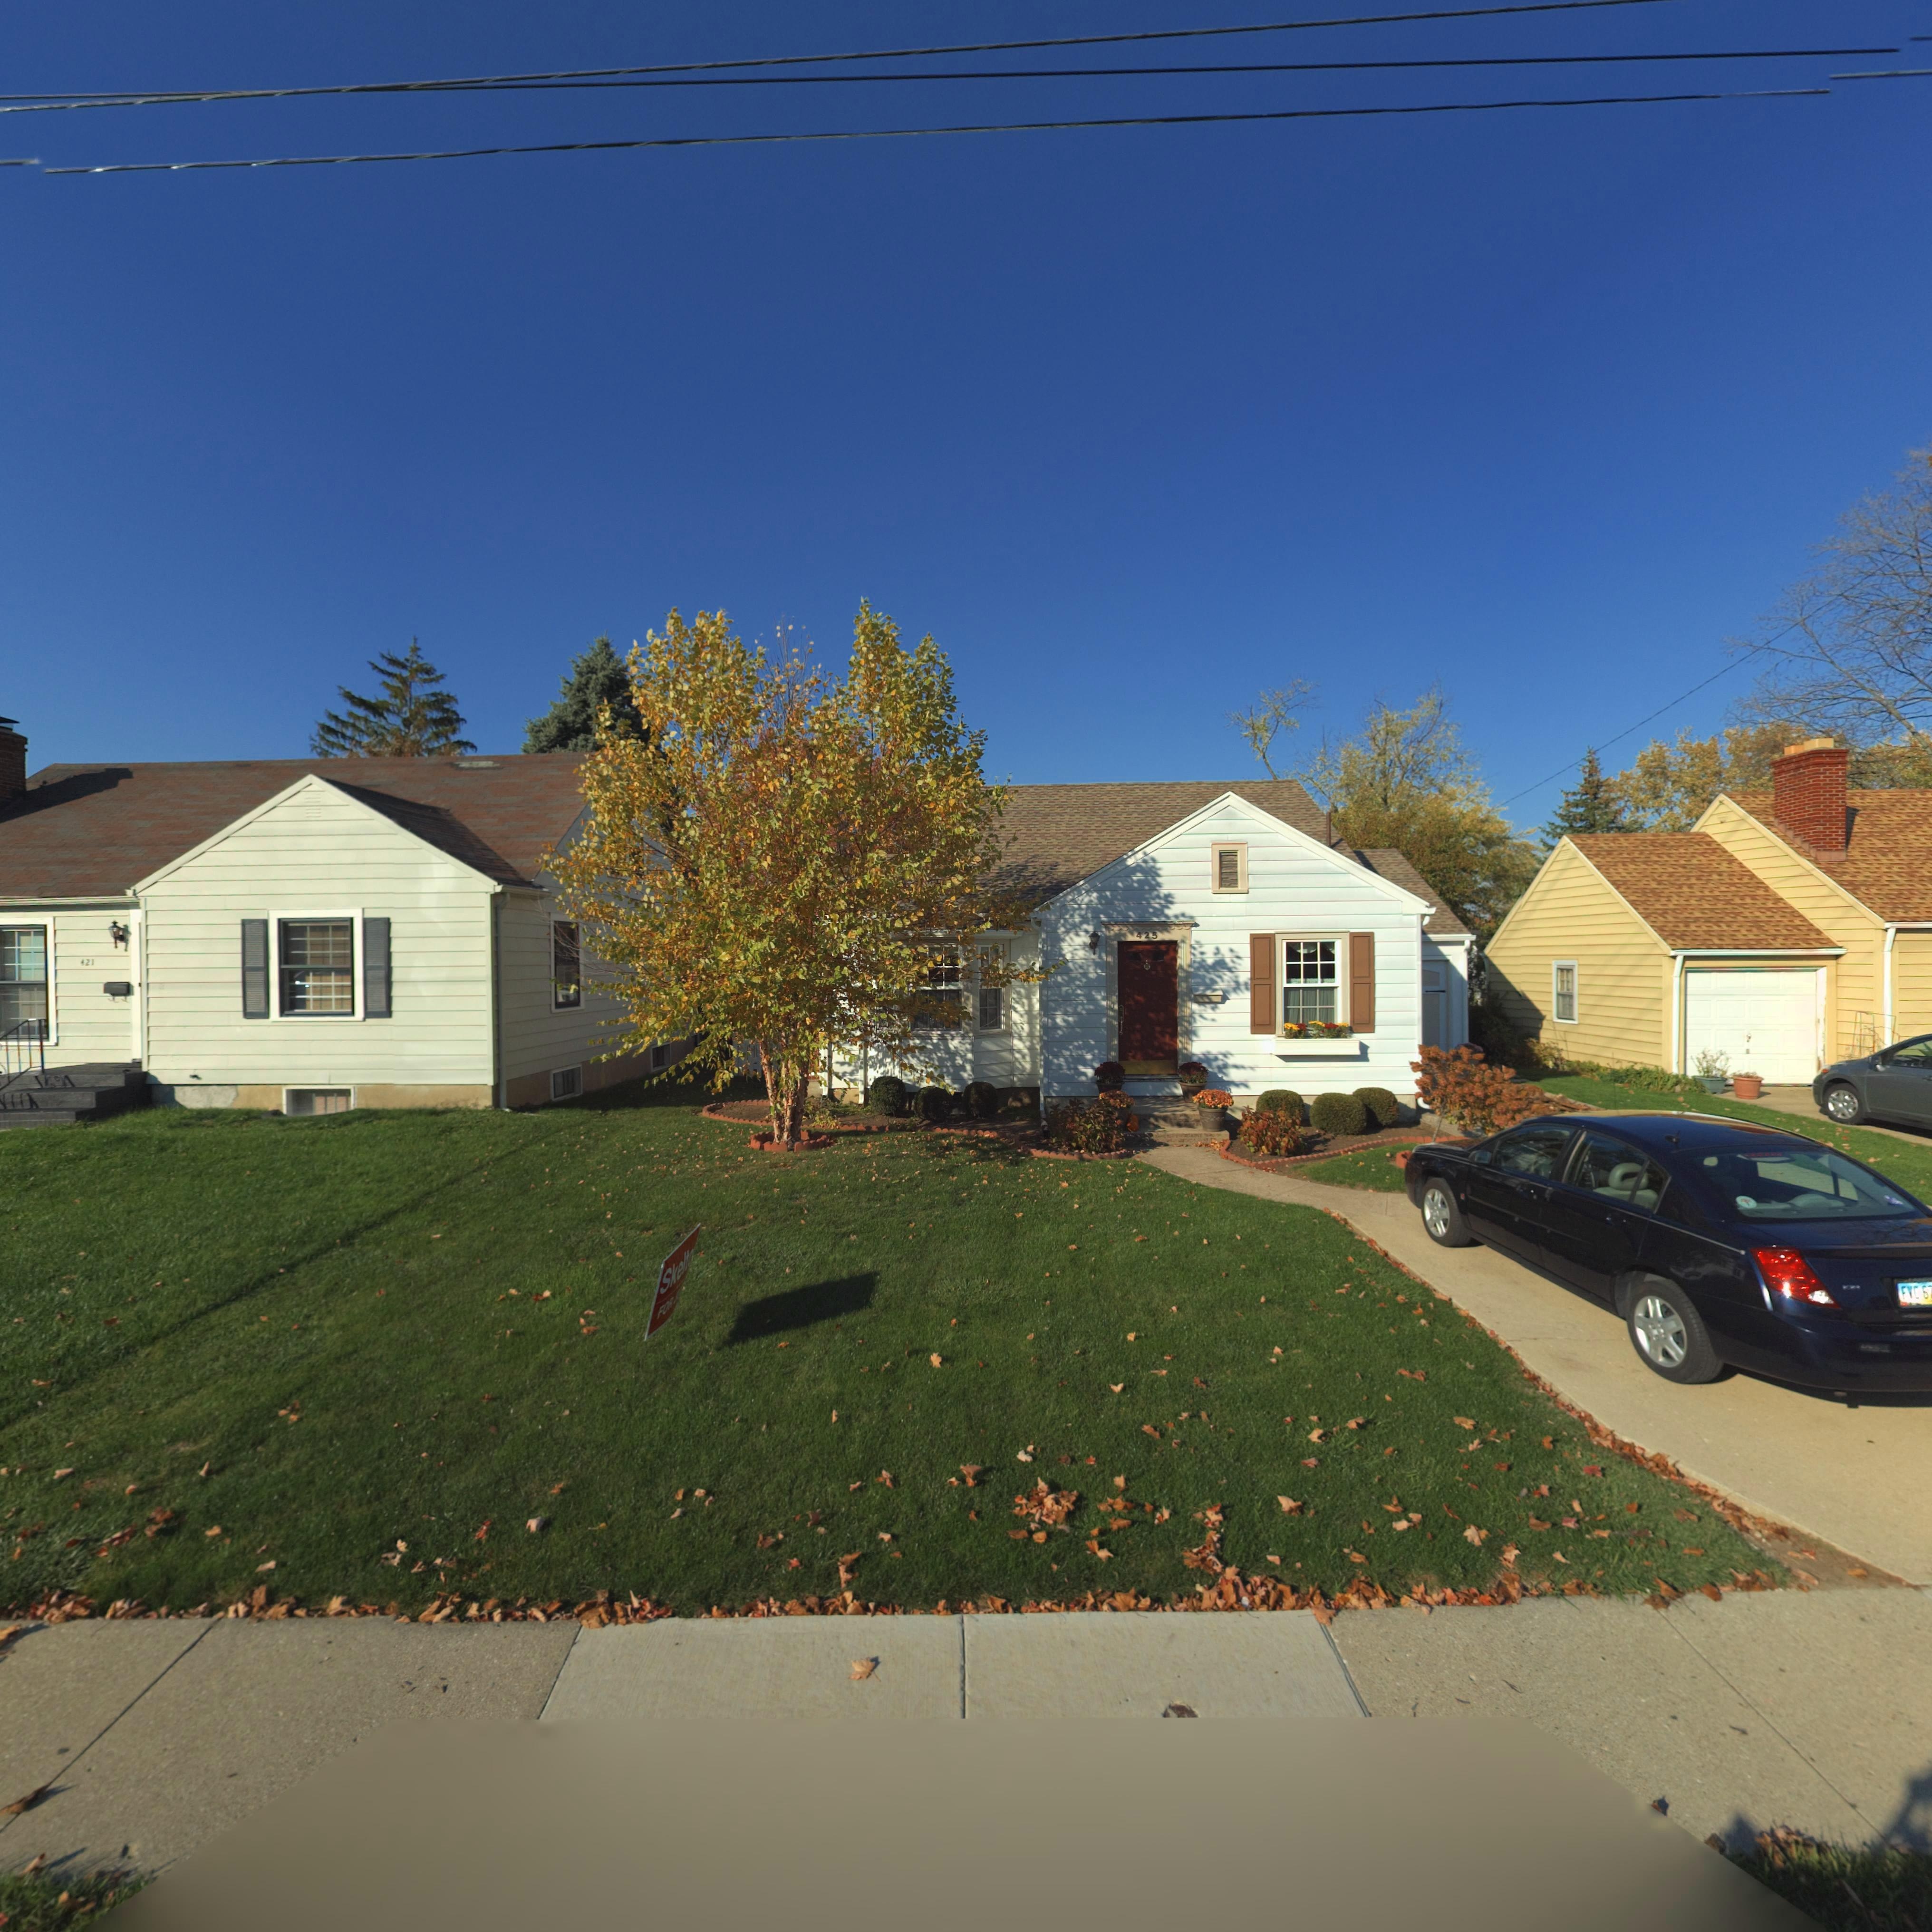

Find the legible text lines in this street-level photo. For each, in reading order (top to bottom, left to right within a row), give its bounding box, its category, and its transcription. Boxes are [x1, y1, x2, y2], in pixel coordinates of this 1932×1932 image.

[1135, 931, 1158, 939] StreetNumber: 425
[79, 958, 95, 966] StreetNumber: 421